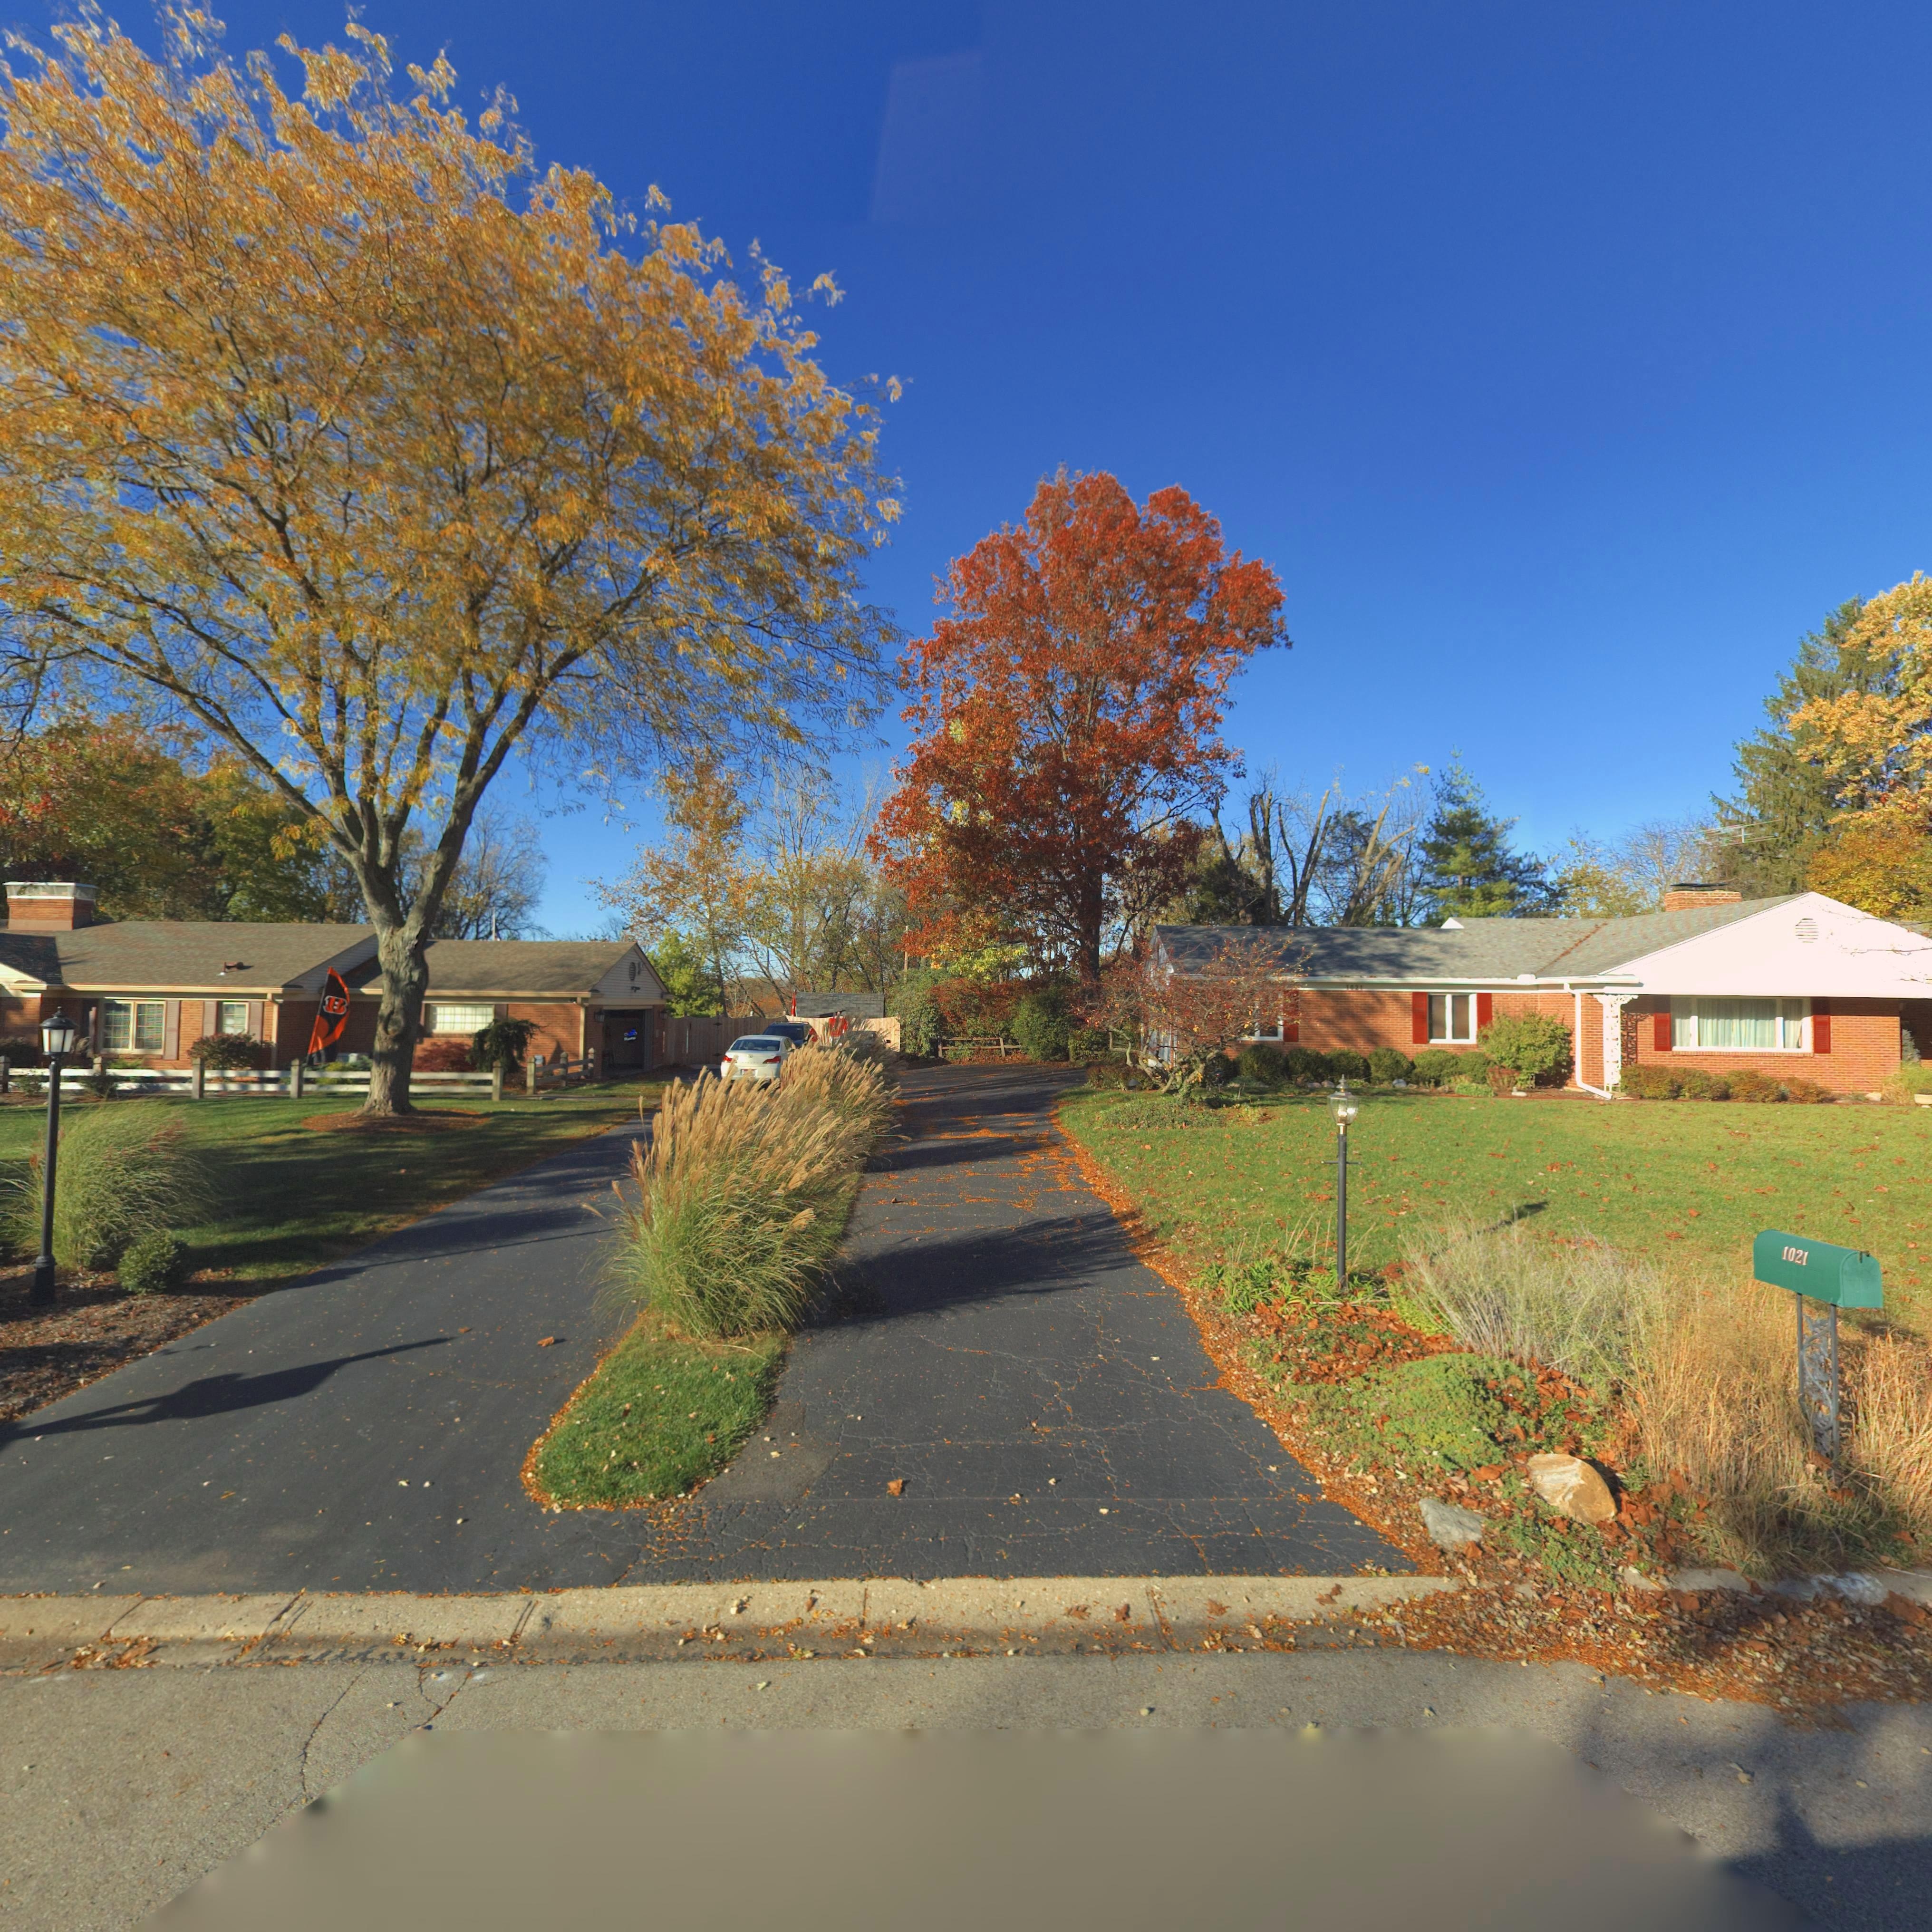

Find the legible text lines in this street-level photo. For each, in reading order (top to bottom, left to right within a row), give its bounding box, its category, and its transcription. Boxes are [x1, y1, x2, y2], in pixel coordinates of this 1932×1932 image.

[1781, 1245, 1810, 1267] StreetNumber: 1021